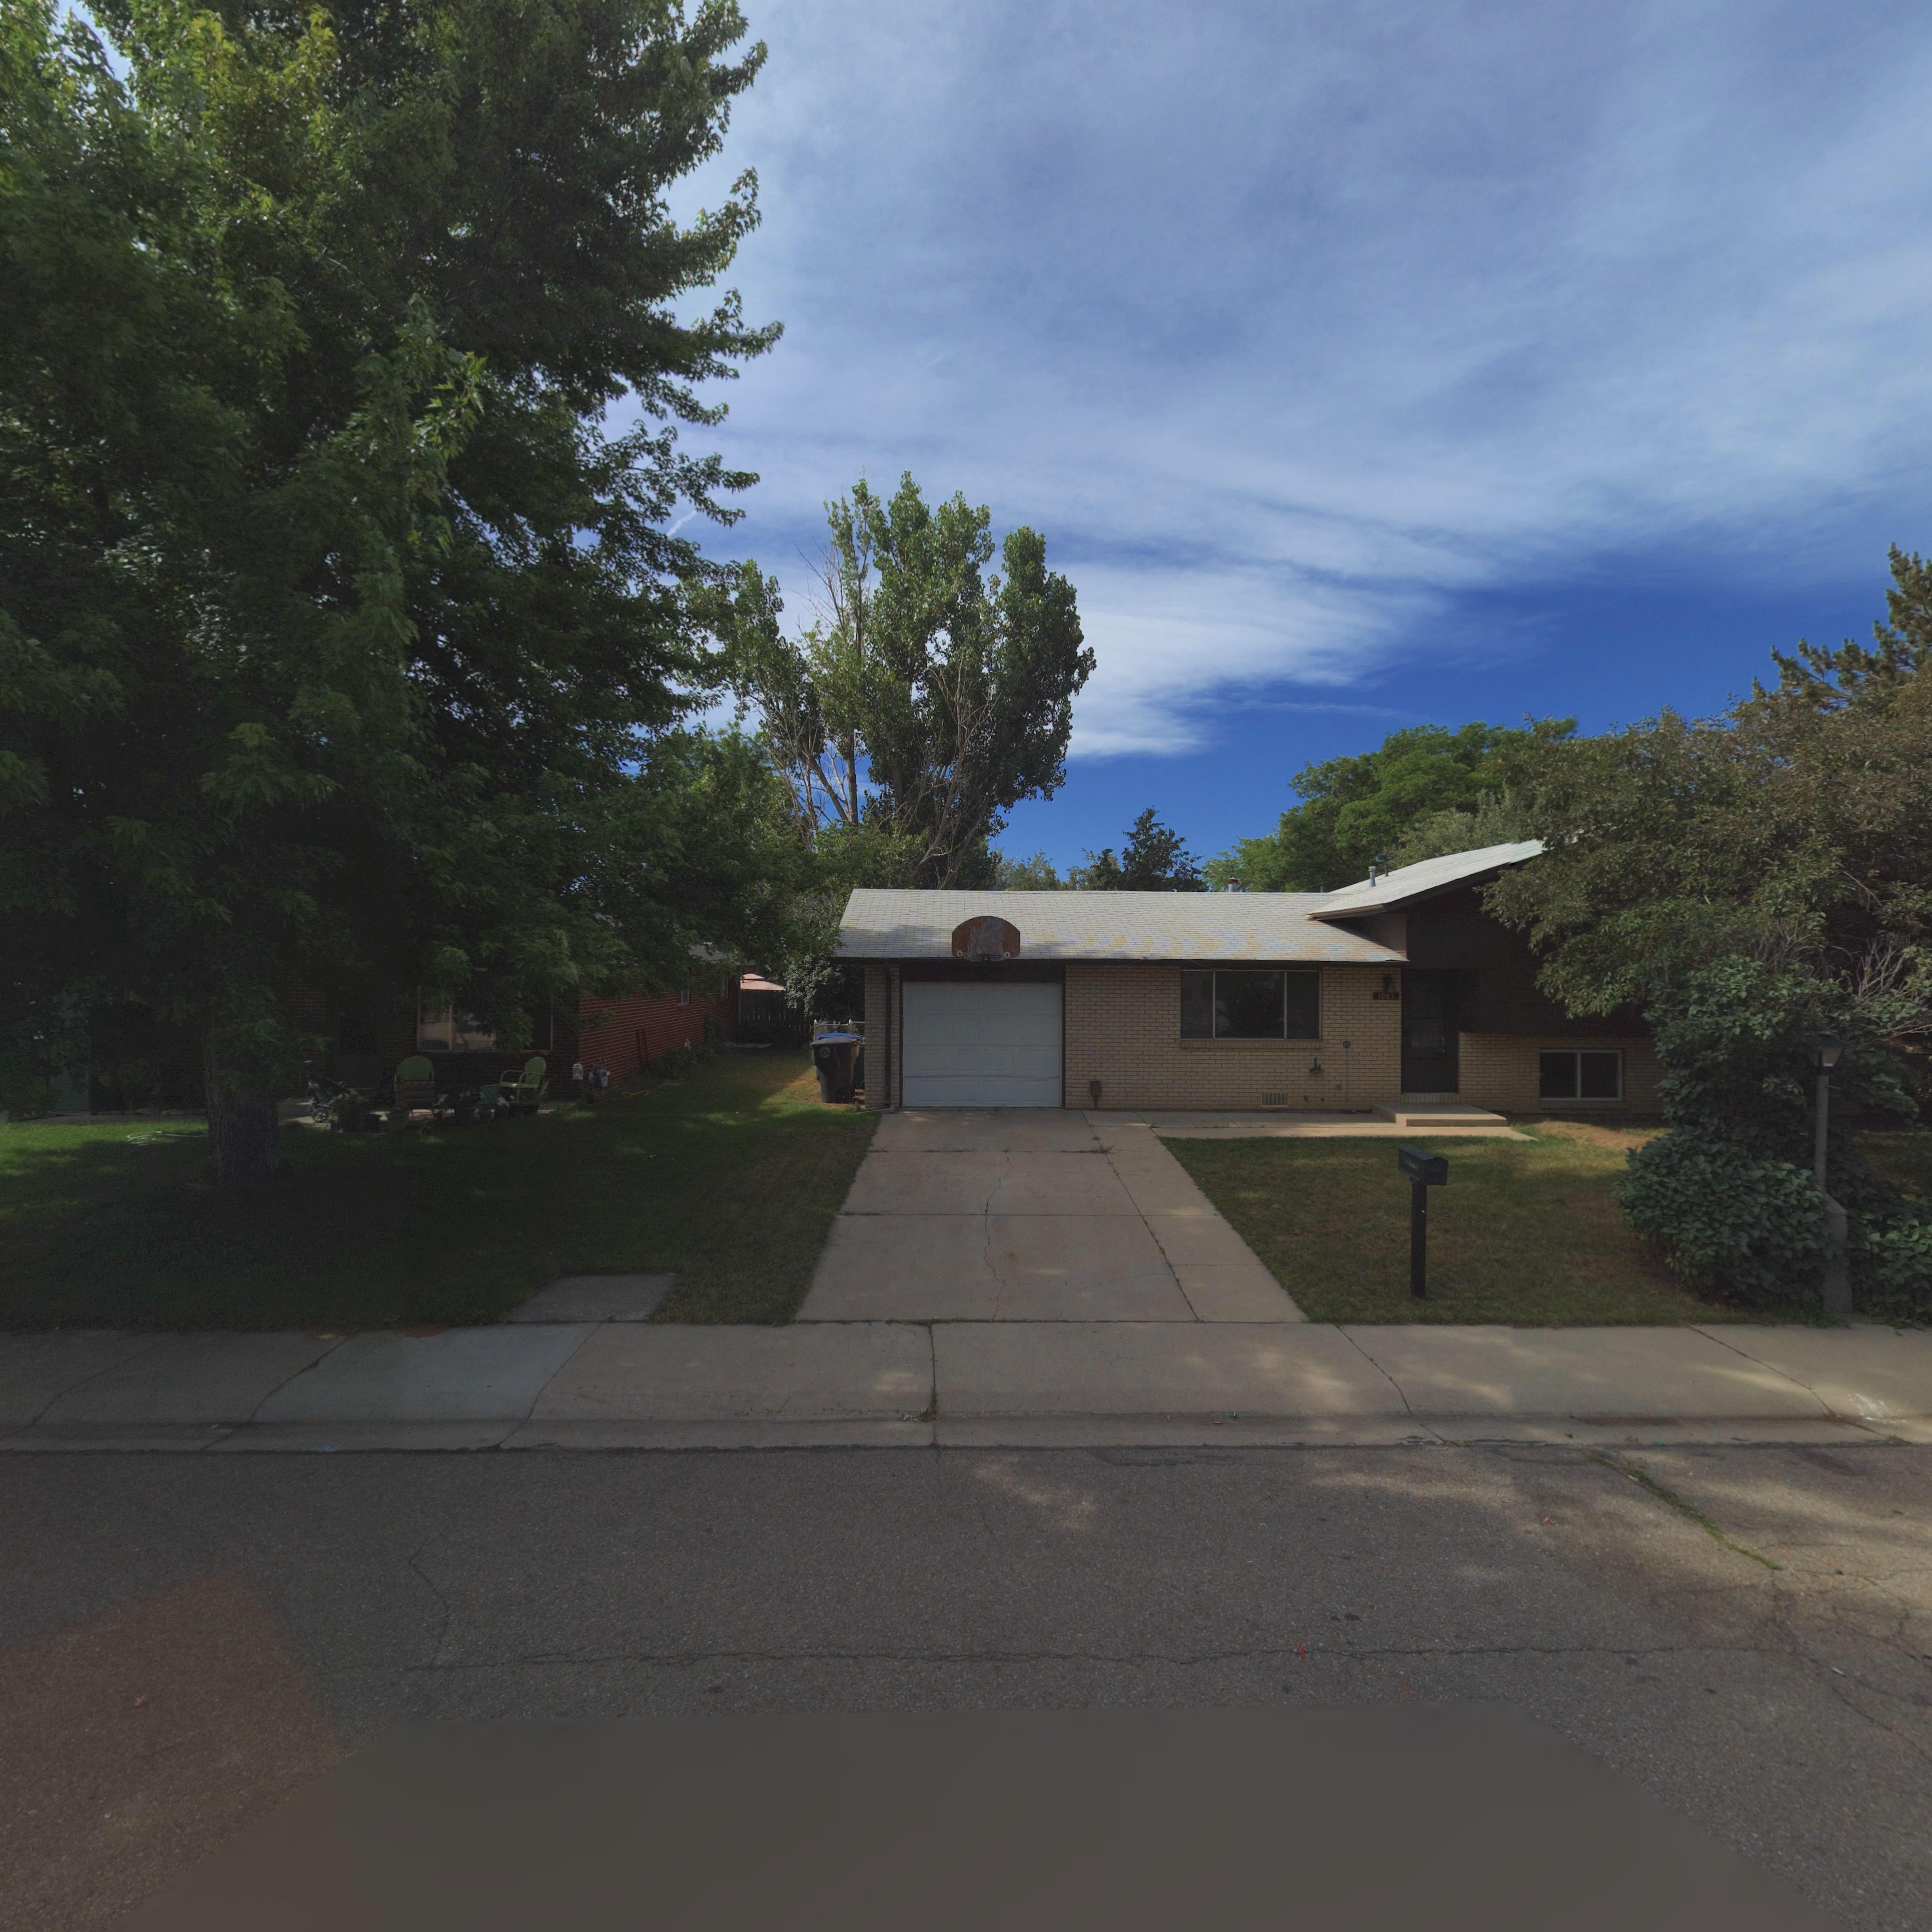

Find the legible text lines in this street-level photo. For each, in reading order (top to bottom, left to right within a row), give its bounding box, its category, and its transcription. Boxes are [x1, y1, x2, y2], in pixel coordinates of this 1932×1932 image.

[1378, 992, 1393, 999] StreetNumber: 1003